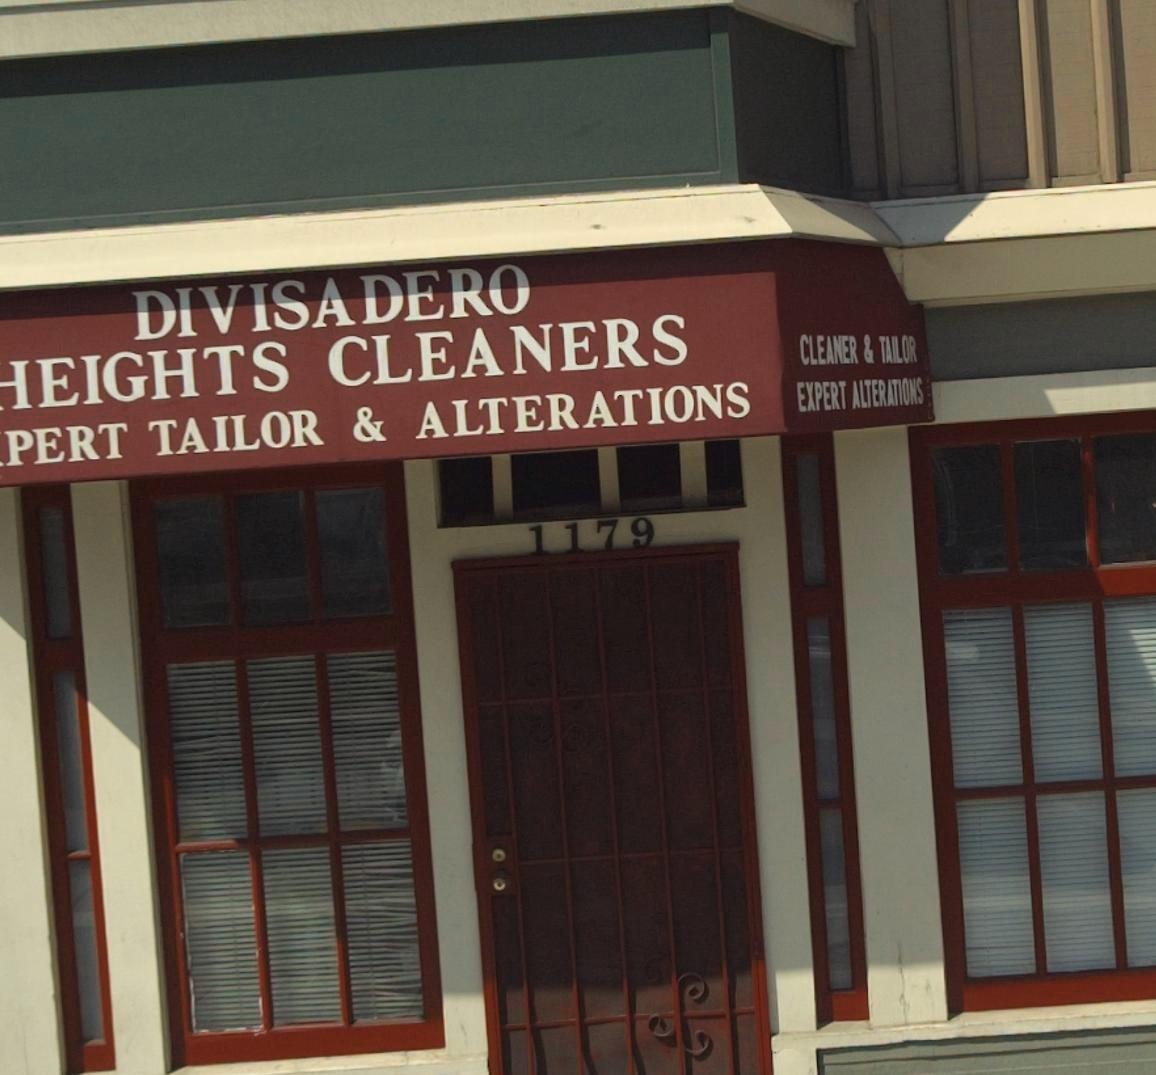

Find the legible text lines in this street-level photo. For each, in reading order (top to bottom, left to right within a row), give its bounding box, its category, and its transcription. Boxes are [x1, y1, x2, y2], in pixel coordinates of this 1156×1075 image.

[129, 259, 534, 343] None: DIVISADERO
[32, 312, 691, 408] BusinessName: EIGHTS CLEANERS
[2, 381, 753, 467] None: PERT TAILOR & ALTERATIONS
[795, 333, 923, 364] None: CLEANER & TAILOR
[795, 375, 926, 413] None: EXPERT ALTERATIONS
[527, 515, 656, 556] StreetNumber: 1179